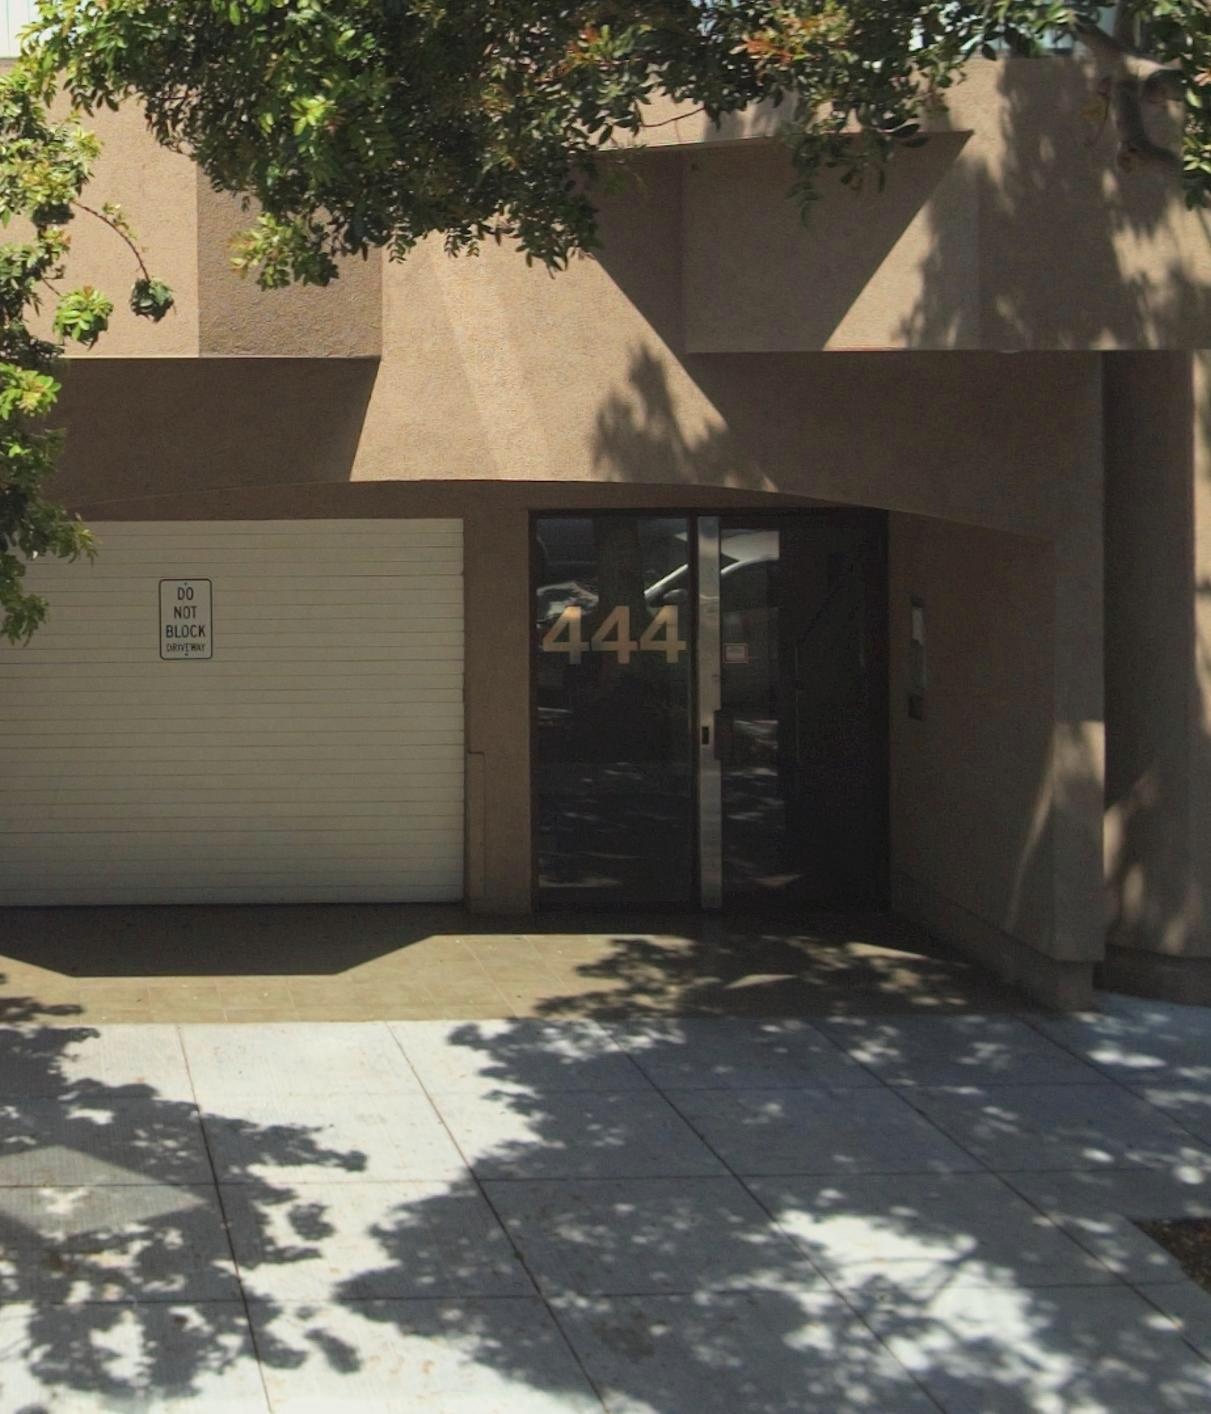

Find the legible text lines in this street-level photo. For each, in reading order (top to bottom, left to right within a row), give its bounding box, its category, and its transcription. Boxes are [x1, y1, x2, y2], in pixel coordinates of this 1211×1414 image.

[177, 586, 194, 602] None: DO
[173, 605, 198, 619] None: NOT
[165, 624, 207, 639] None: BLOCK
[540, 604, 689, 667] StreetNumber: 444
[166, 642, 206, 653] None: DRIVEWAY